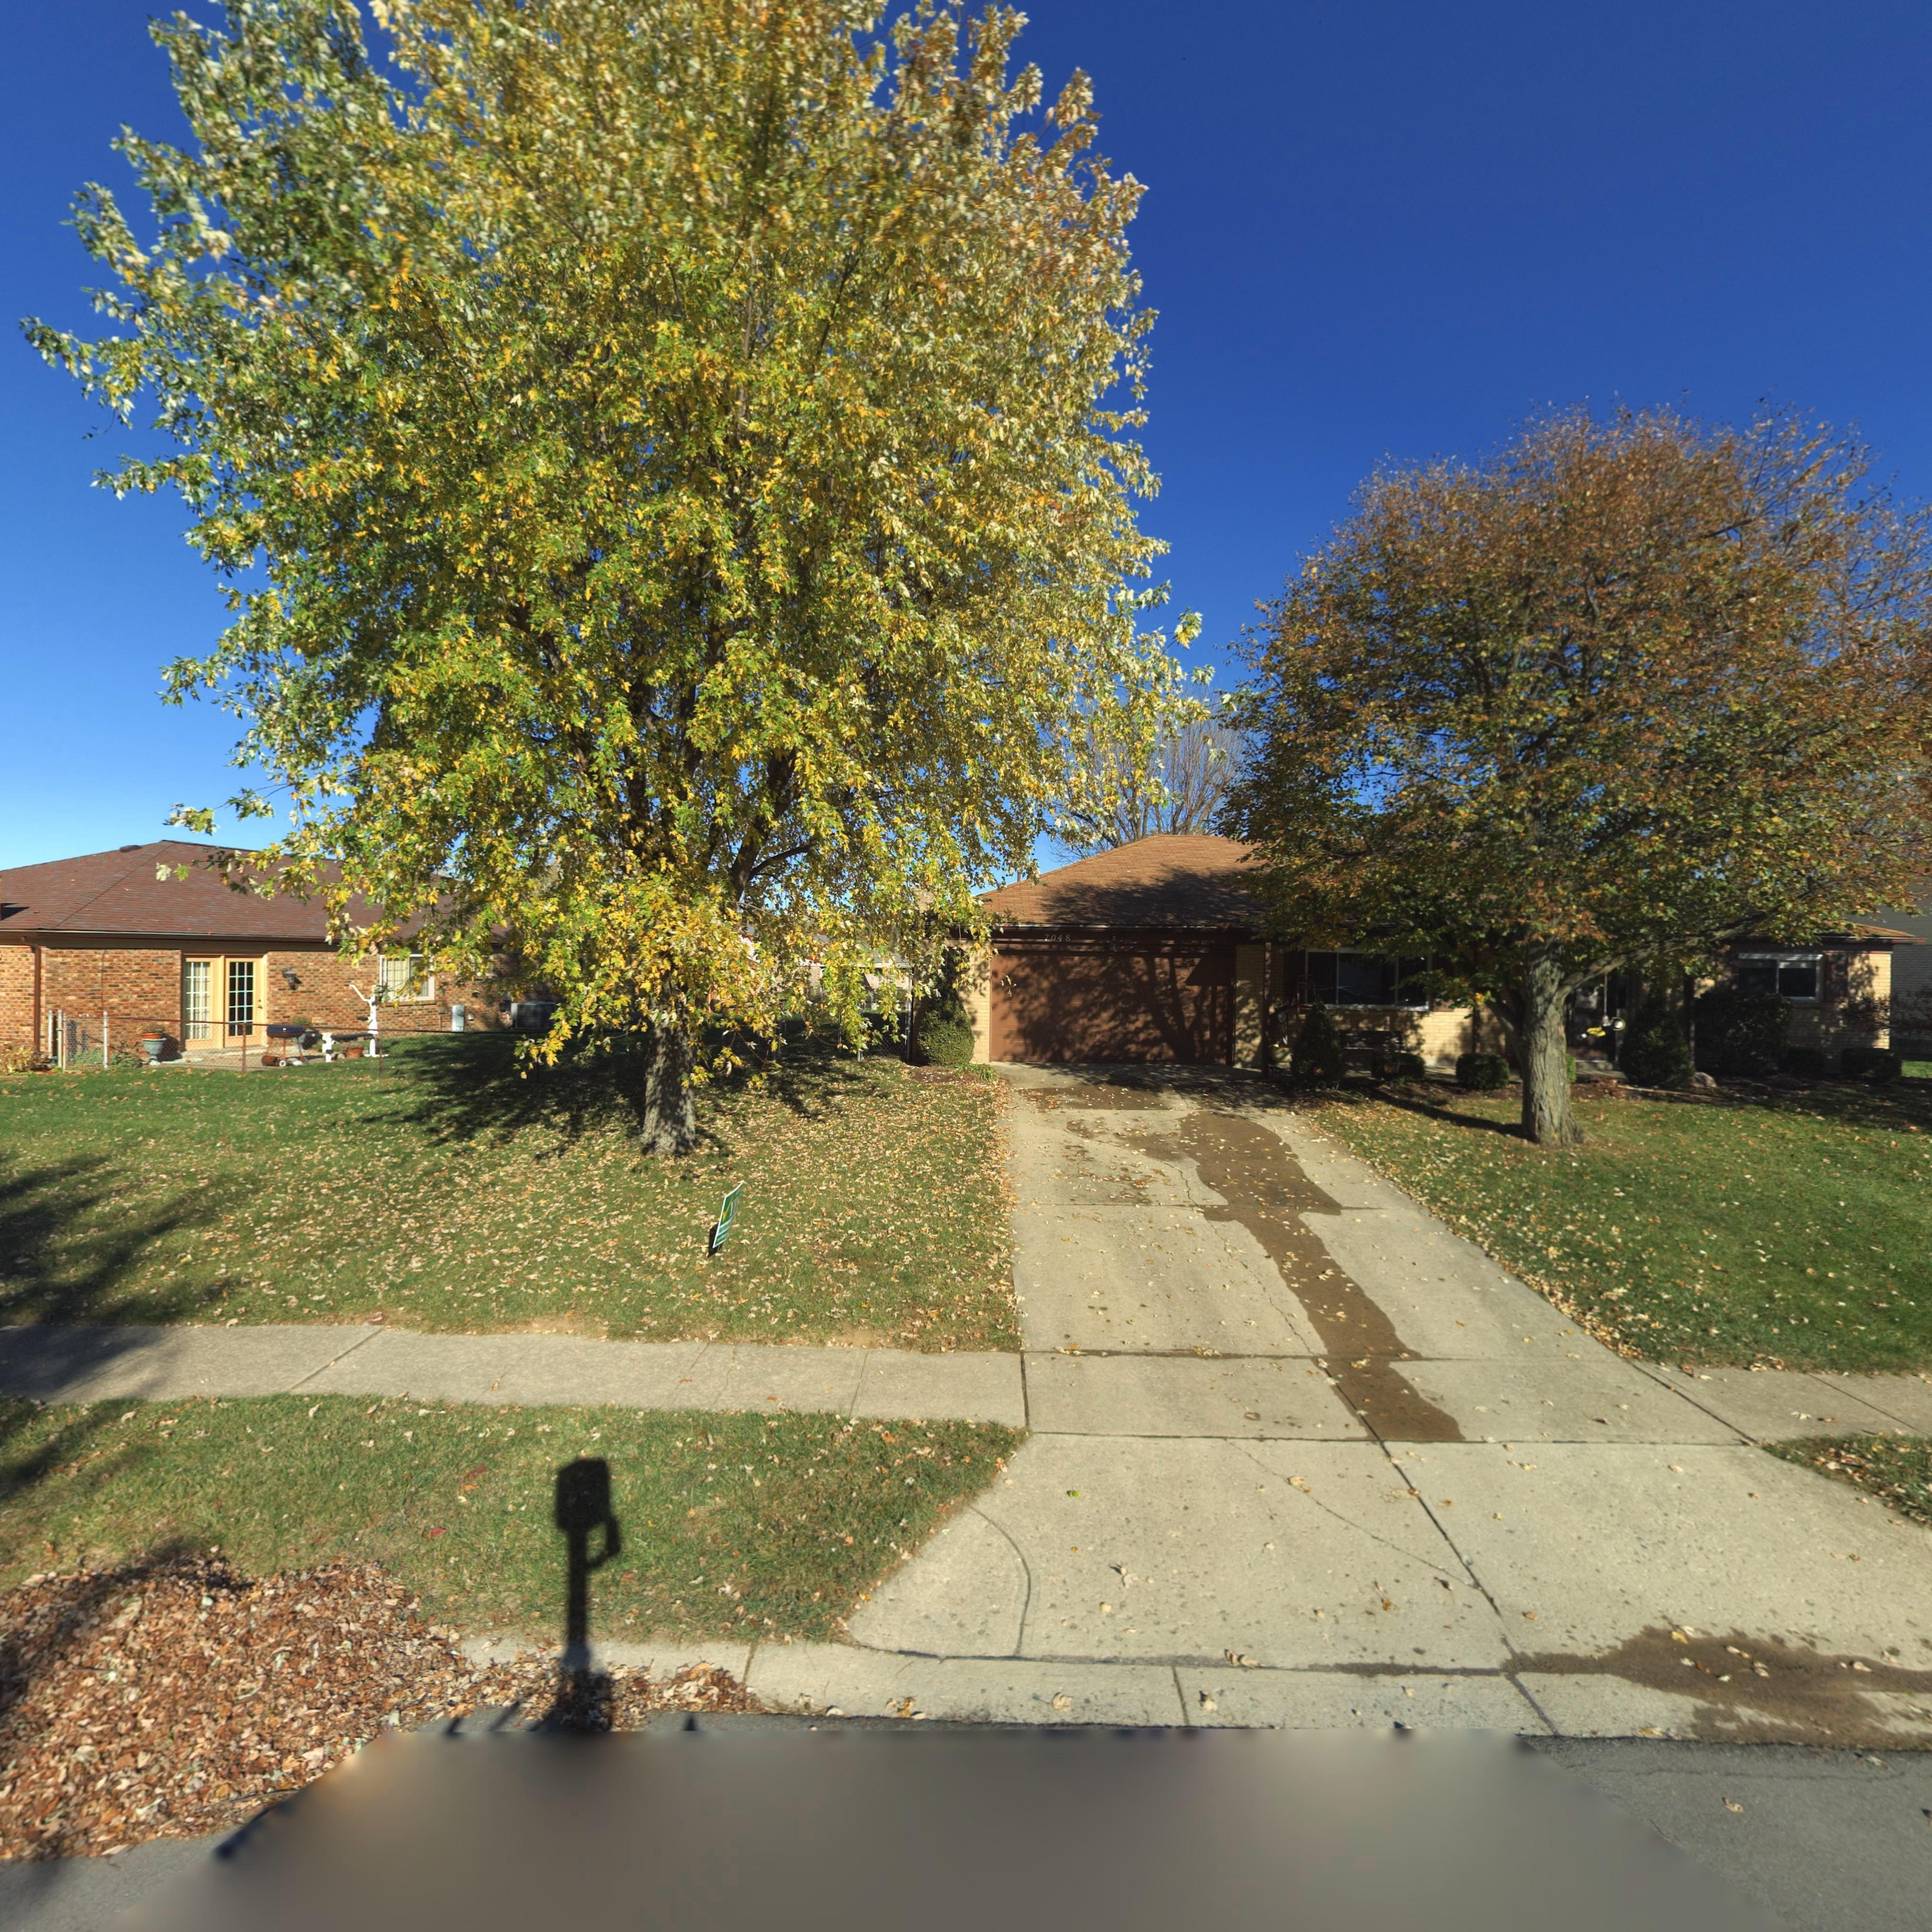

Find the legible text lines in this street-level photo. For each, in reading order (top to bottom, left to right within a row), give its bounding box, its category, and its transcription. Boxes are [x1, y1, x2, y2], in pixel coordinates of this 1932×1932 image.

[1043, 934, 1071, 942] StreetNumber: 7048